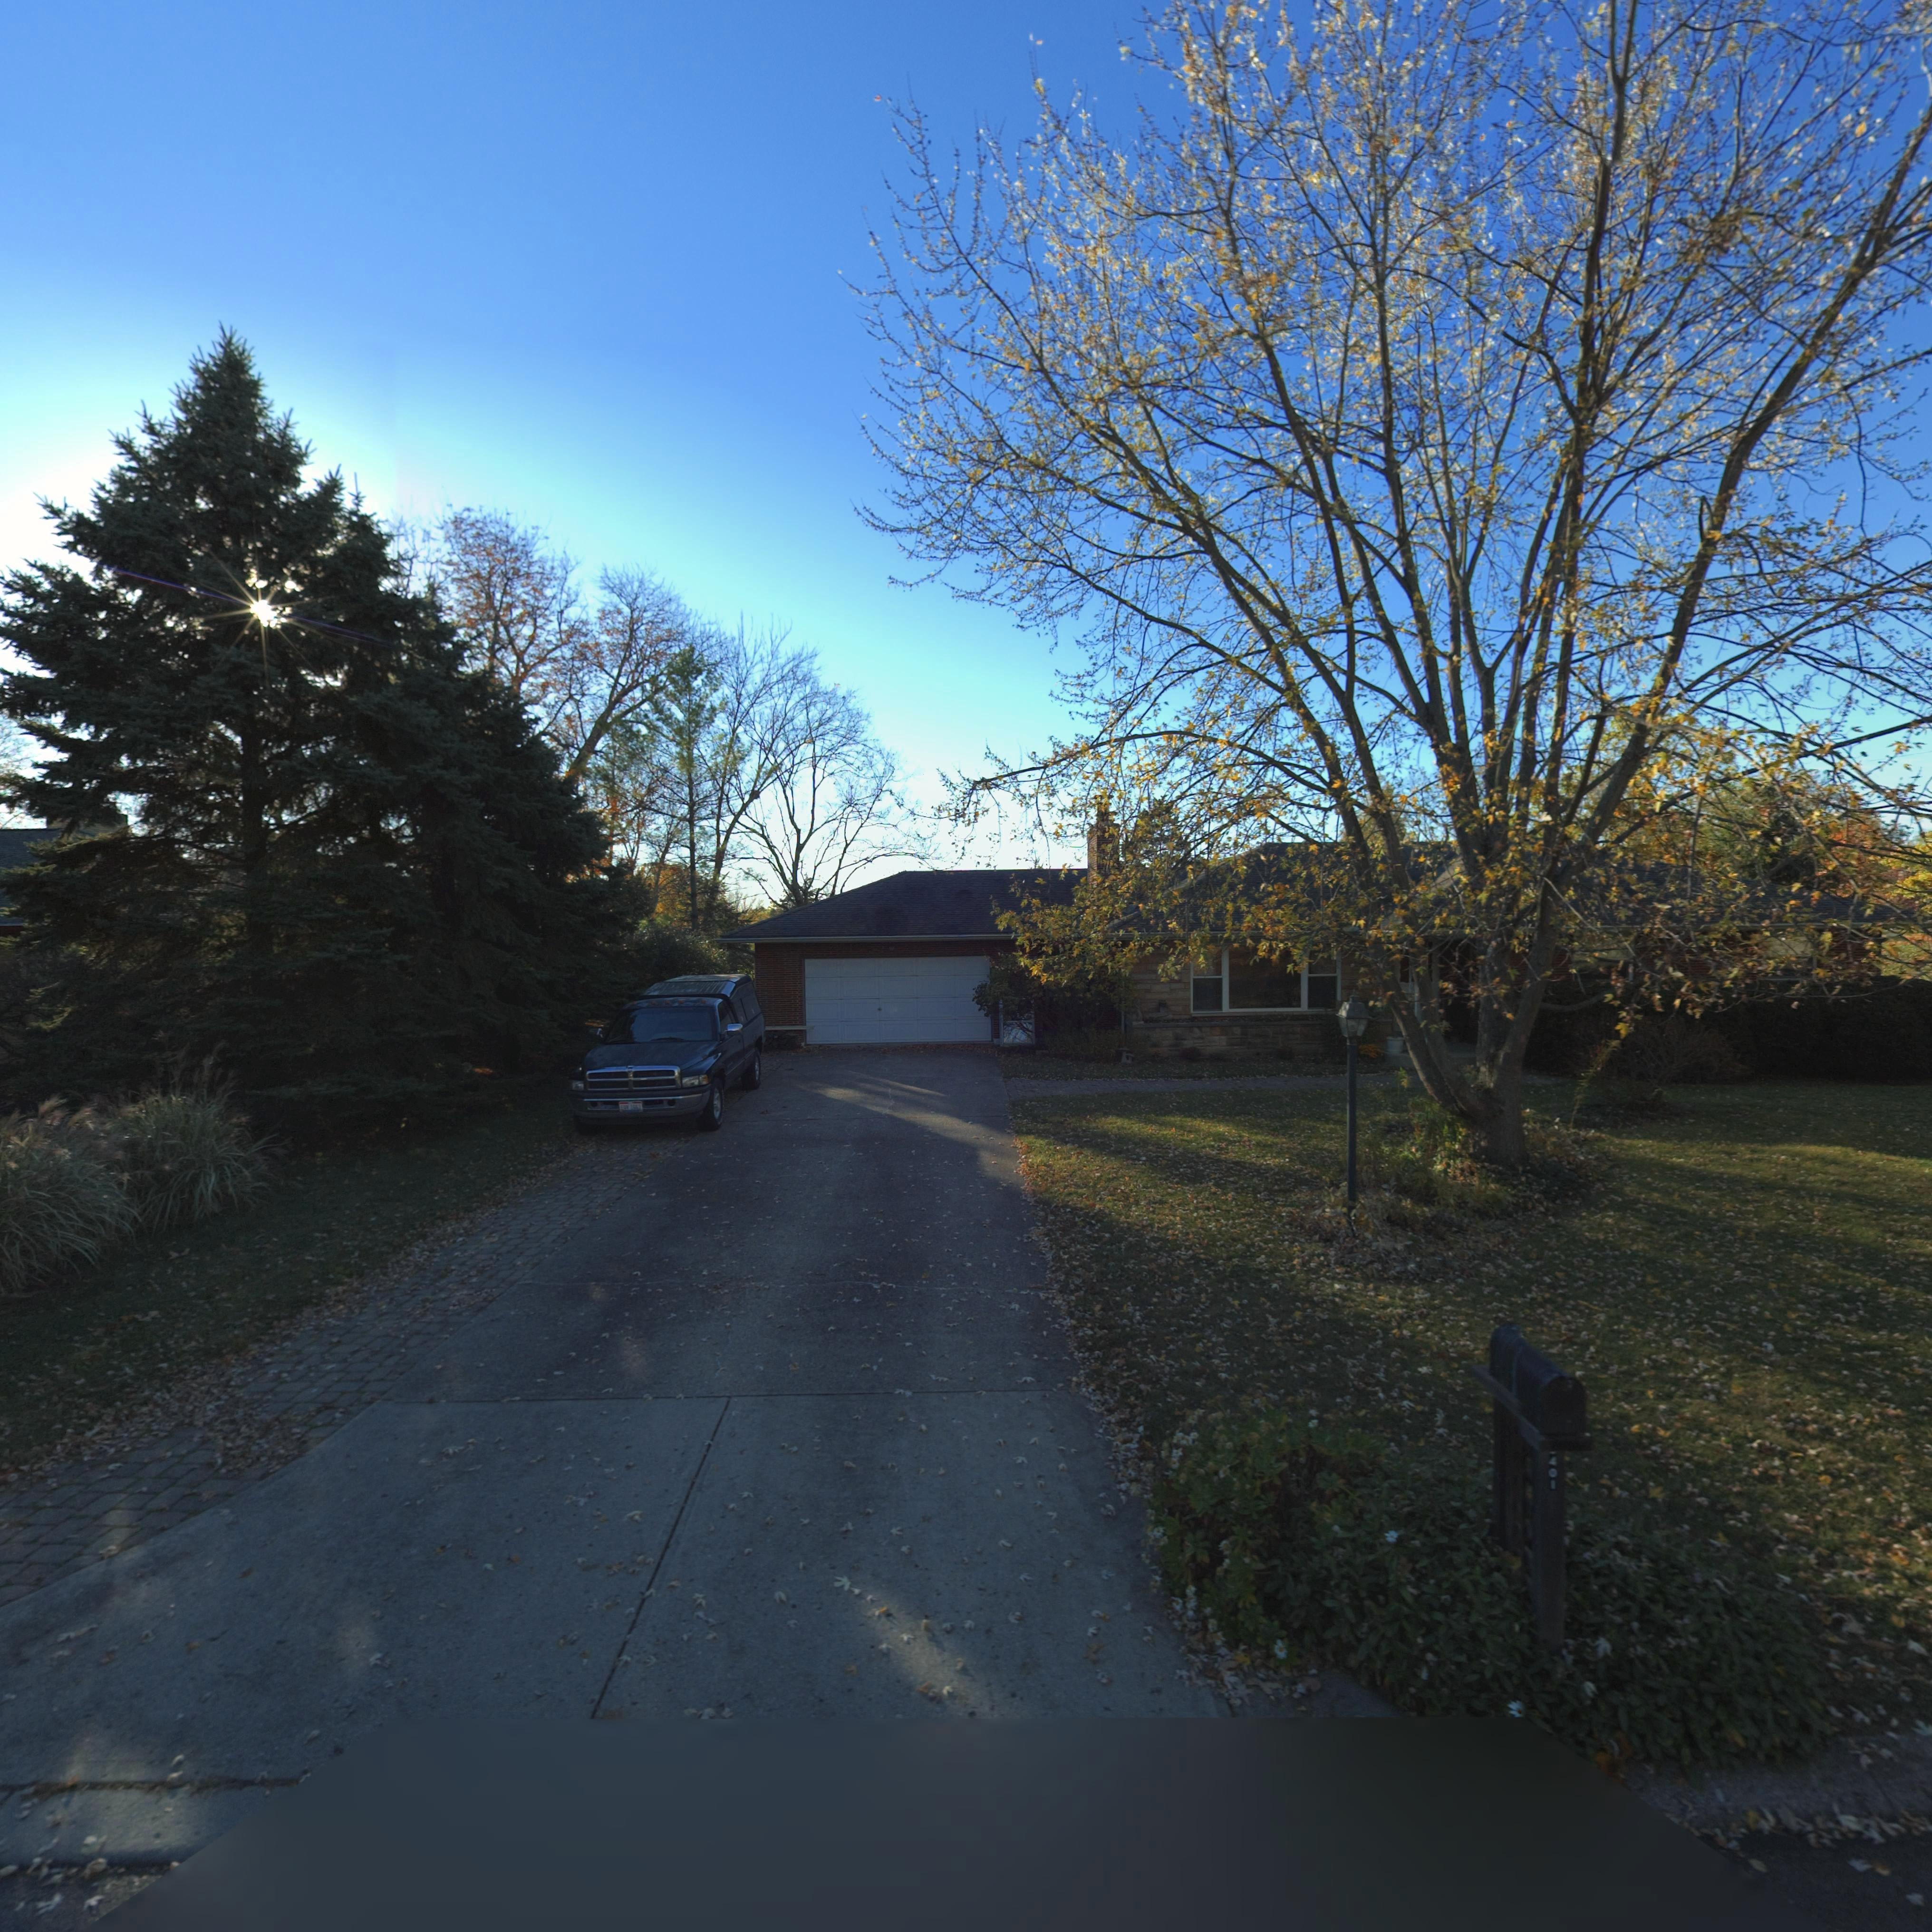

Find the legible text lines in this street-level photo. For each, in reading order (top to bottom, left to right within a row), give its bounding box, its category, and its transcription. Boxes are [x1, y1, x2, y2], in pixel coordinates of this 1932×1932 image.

[1546, 1454, 1559, 1491] StreetNumber: 401